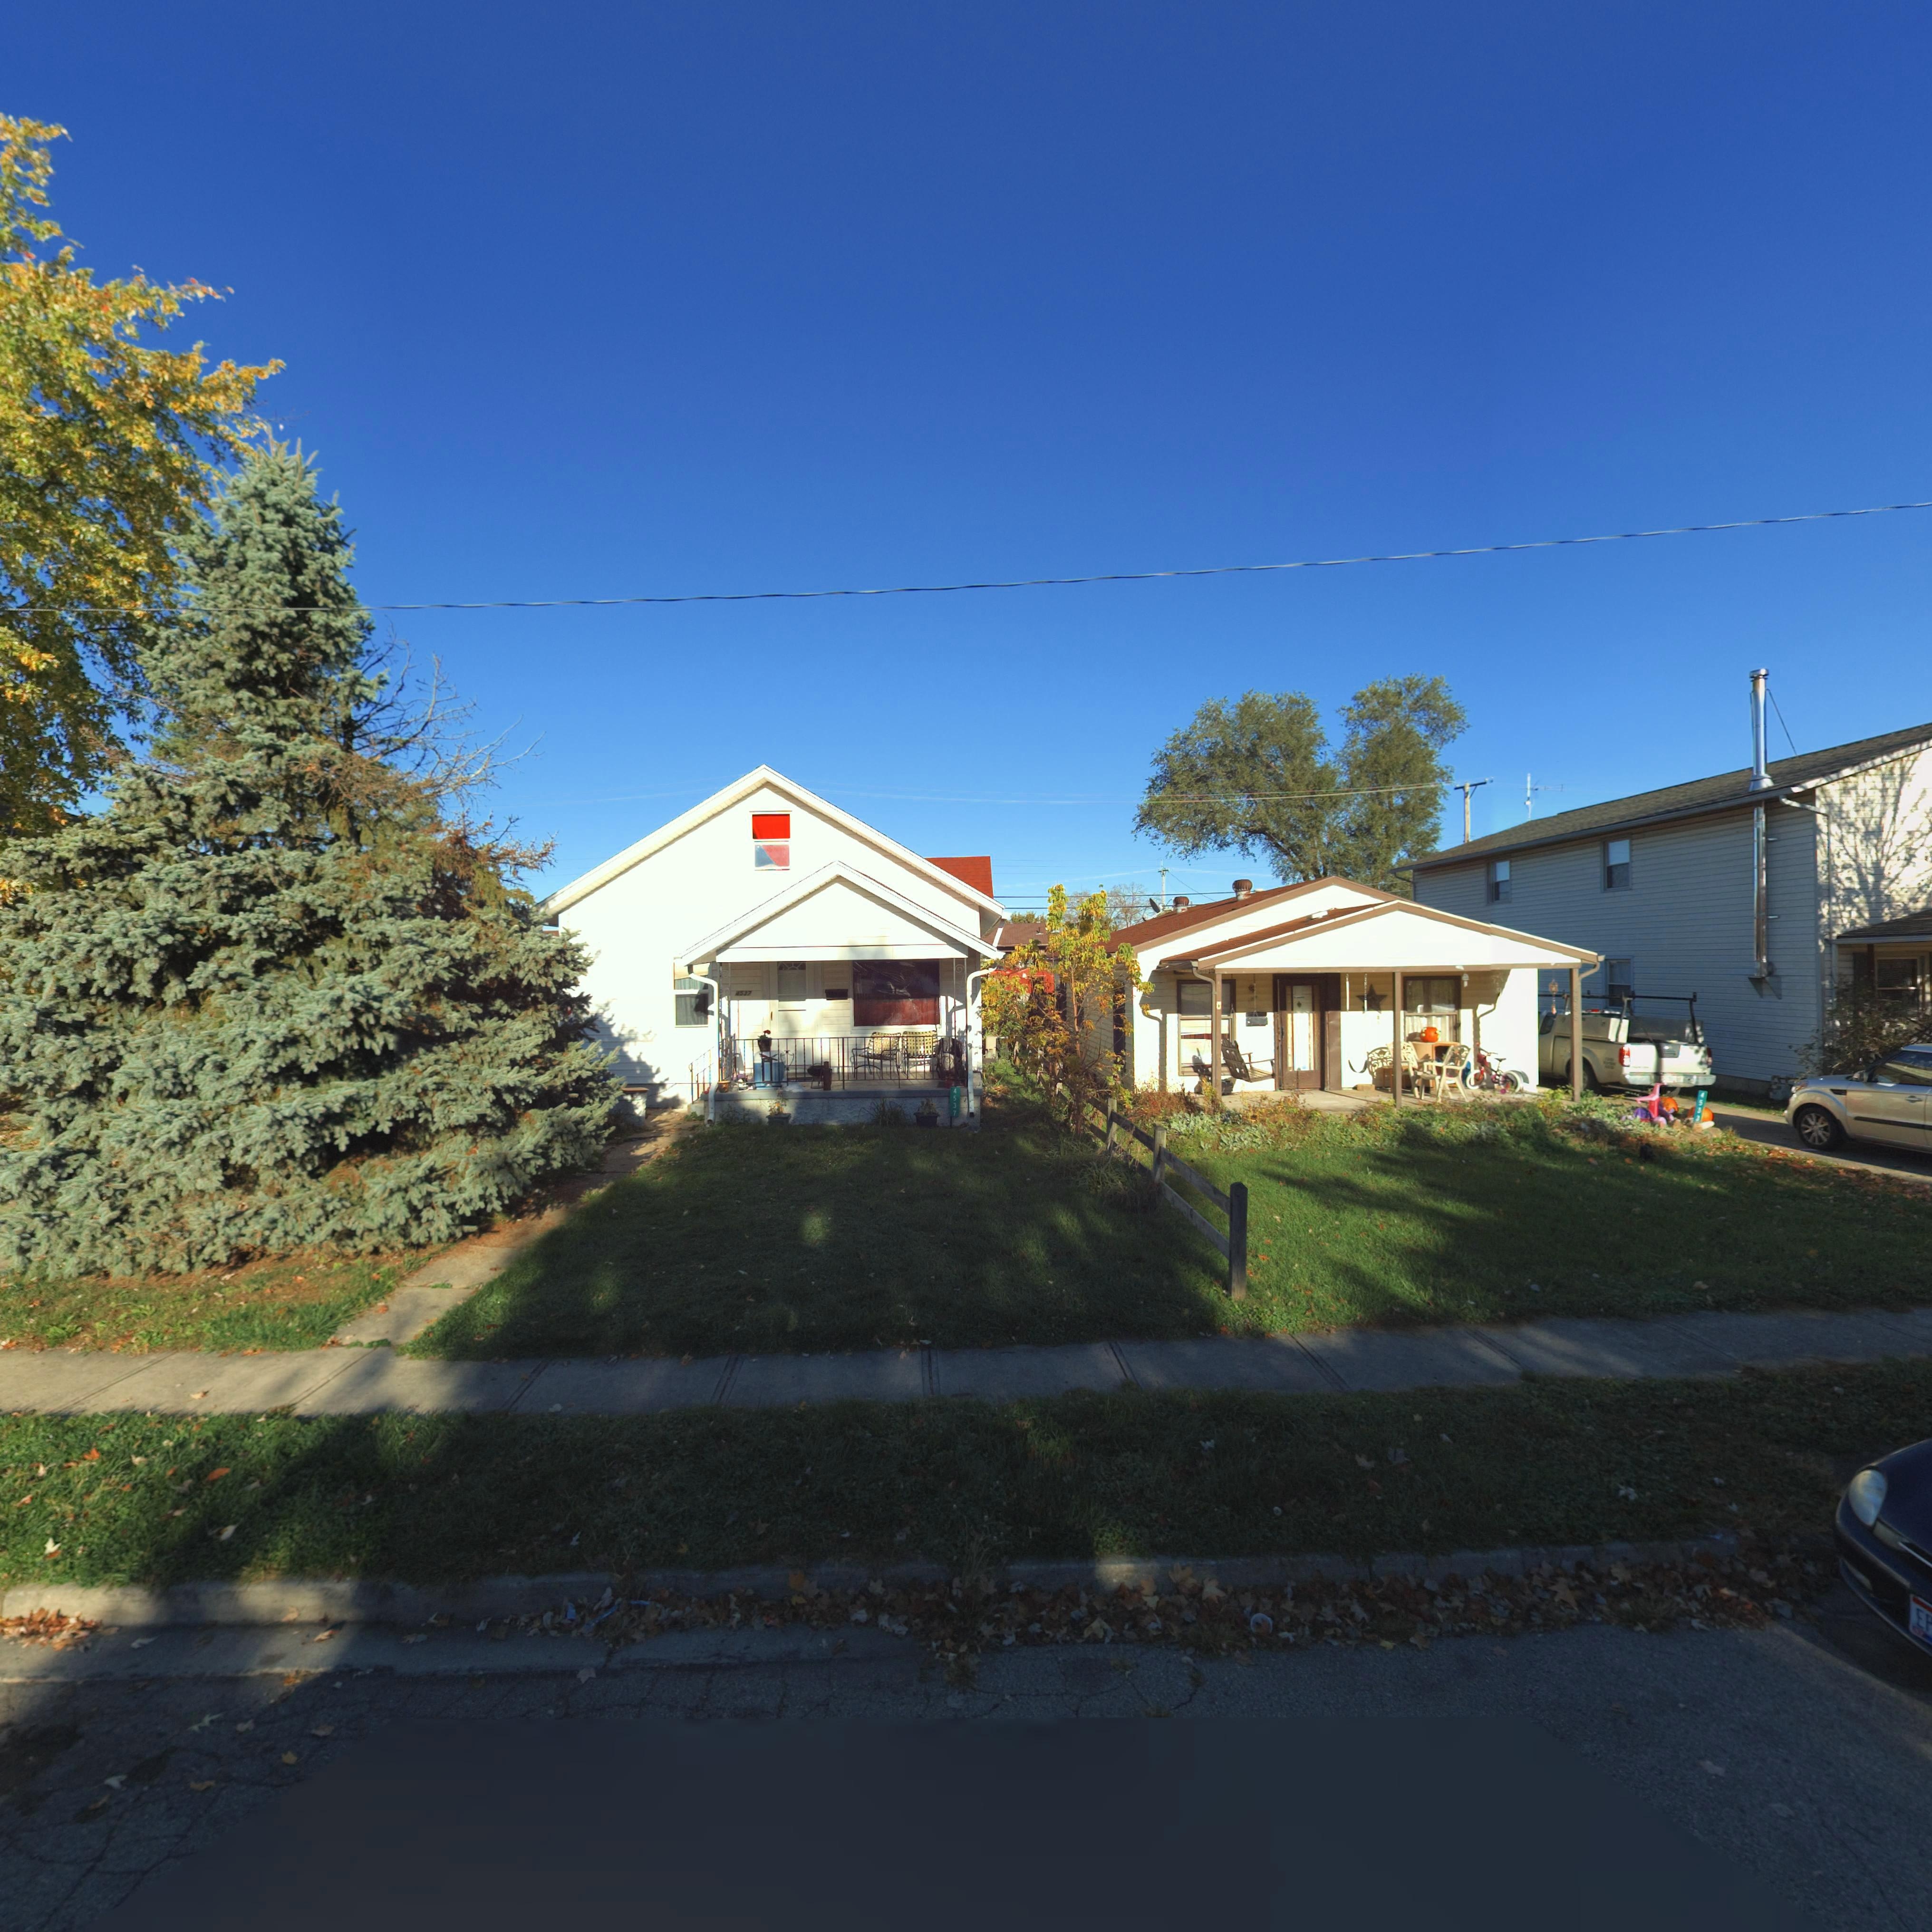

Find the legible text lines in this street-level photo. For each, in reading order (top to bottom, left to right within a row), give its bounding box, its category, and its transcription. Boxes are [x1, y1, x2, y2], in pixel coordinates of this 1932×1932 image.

[734, 990, 753, 996] StreetNumber: 4537
[952, 1087, 957, 1117] StreetNumber: 4537
[1695, 1091, 1705, 1122] StreetNumber: 4533